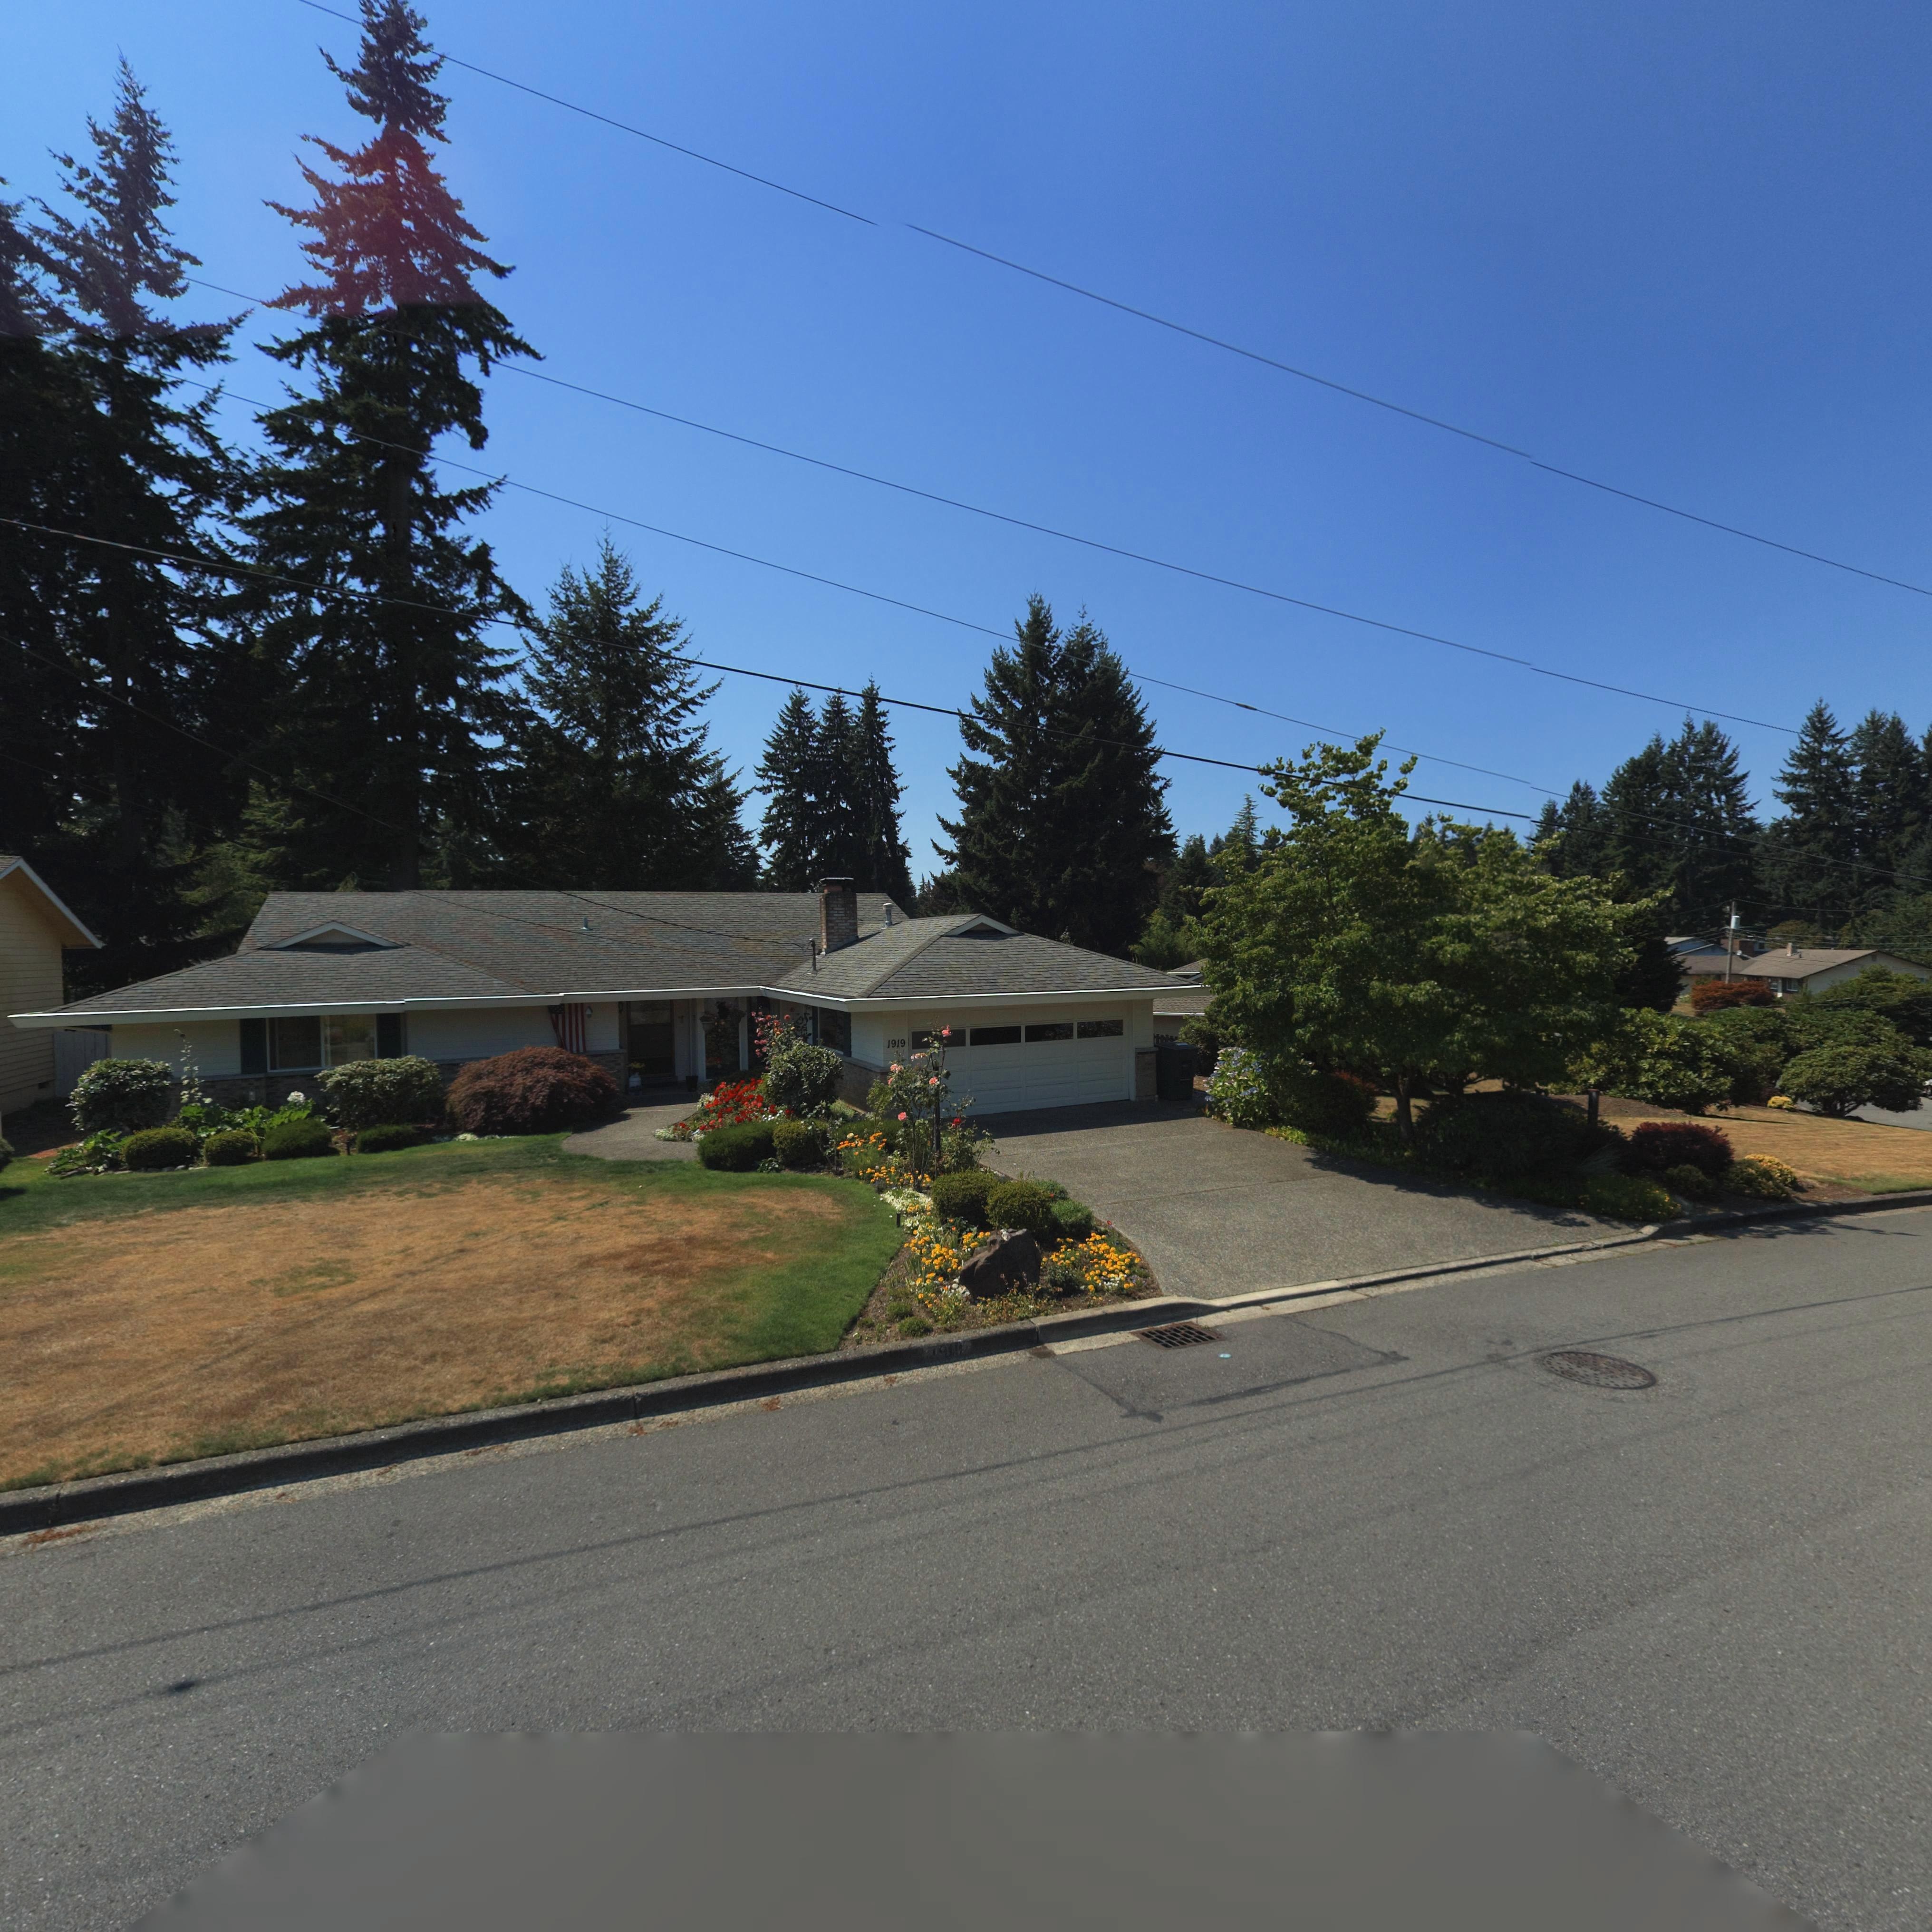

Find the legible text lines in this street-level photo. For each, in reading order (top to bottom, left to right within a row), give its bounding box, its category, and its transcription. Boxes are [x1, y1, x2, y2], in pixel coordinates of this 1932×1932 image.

[887, 1037, 906, 1049] StreetNumber: 1919